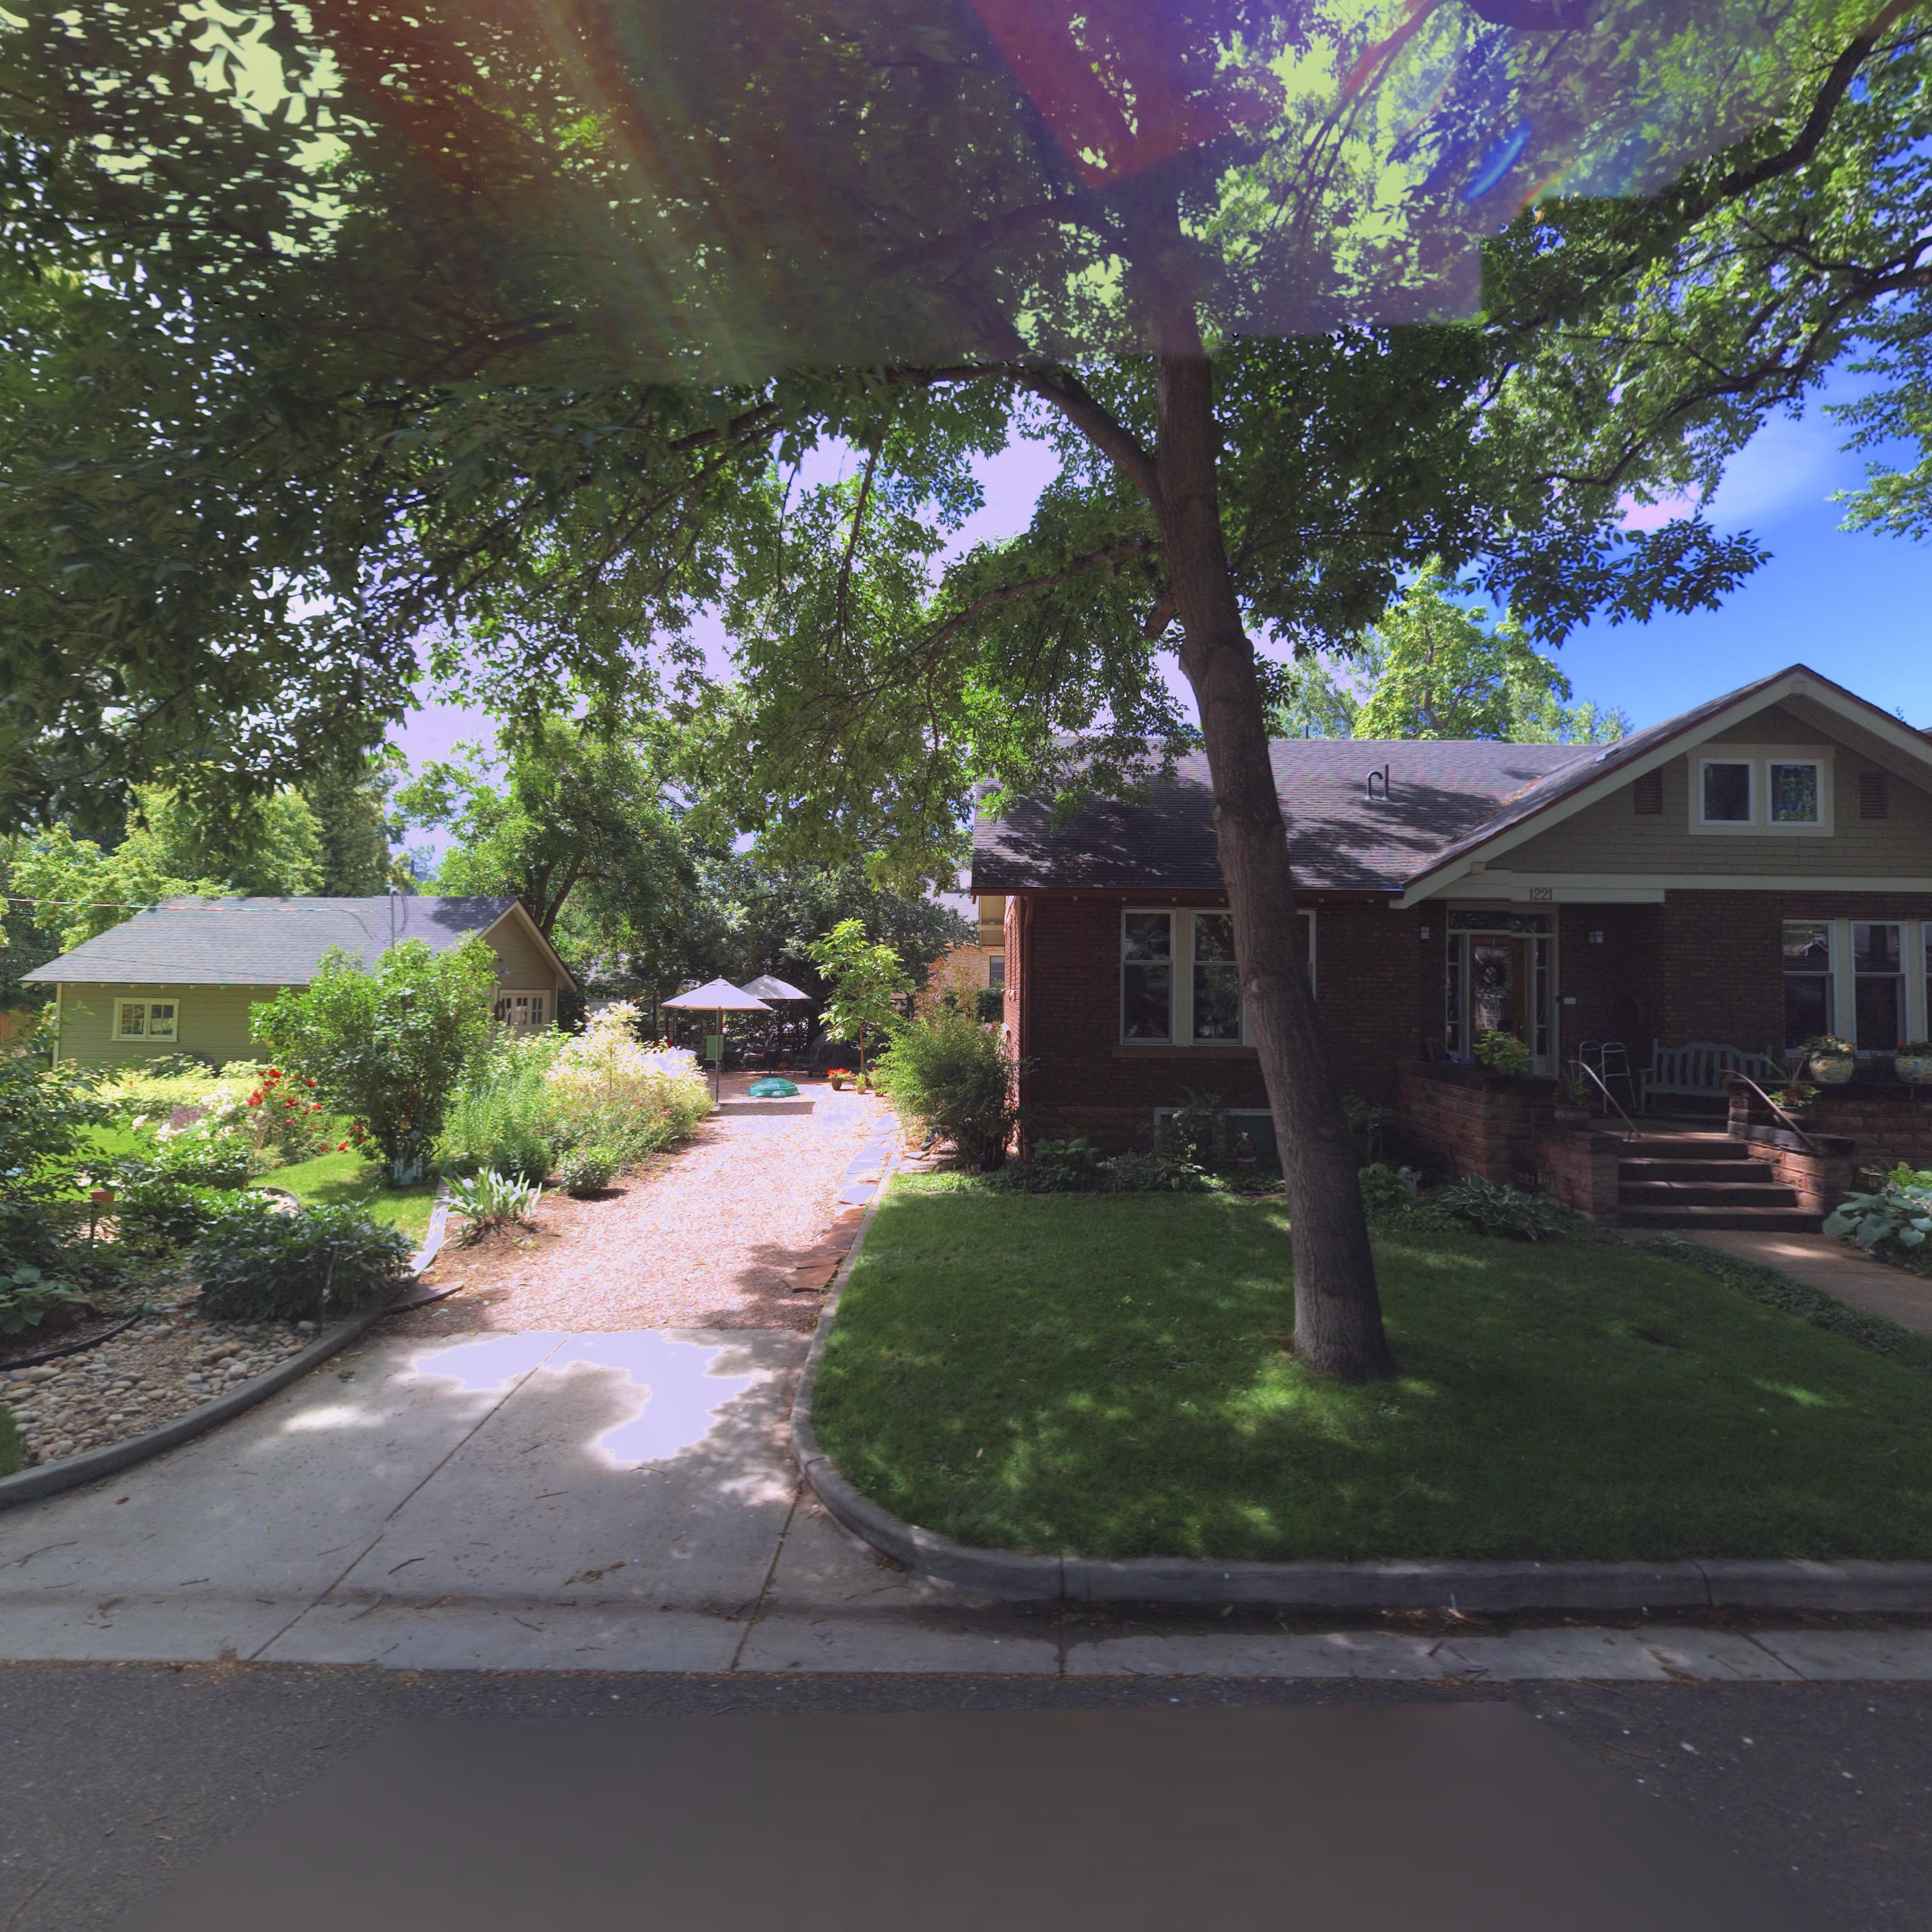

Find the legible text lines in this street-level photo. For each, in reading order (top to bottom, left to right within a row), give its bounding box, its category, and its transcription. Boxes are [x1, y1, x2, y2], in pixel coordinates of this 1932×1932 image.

[1529, 887, 1552, 900] StreetNumber: 1221